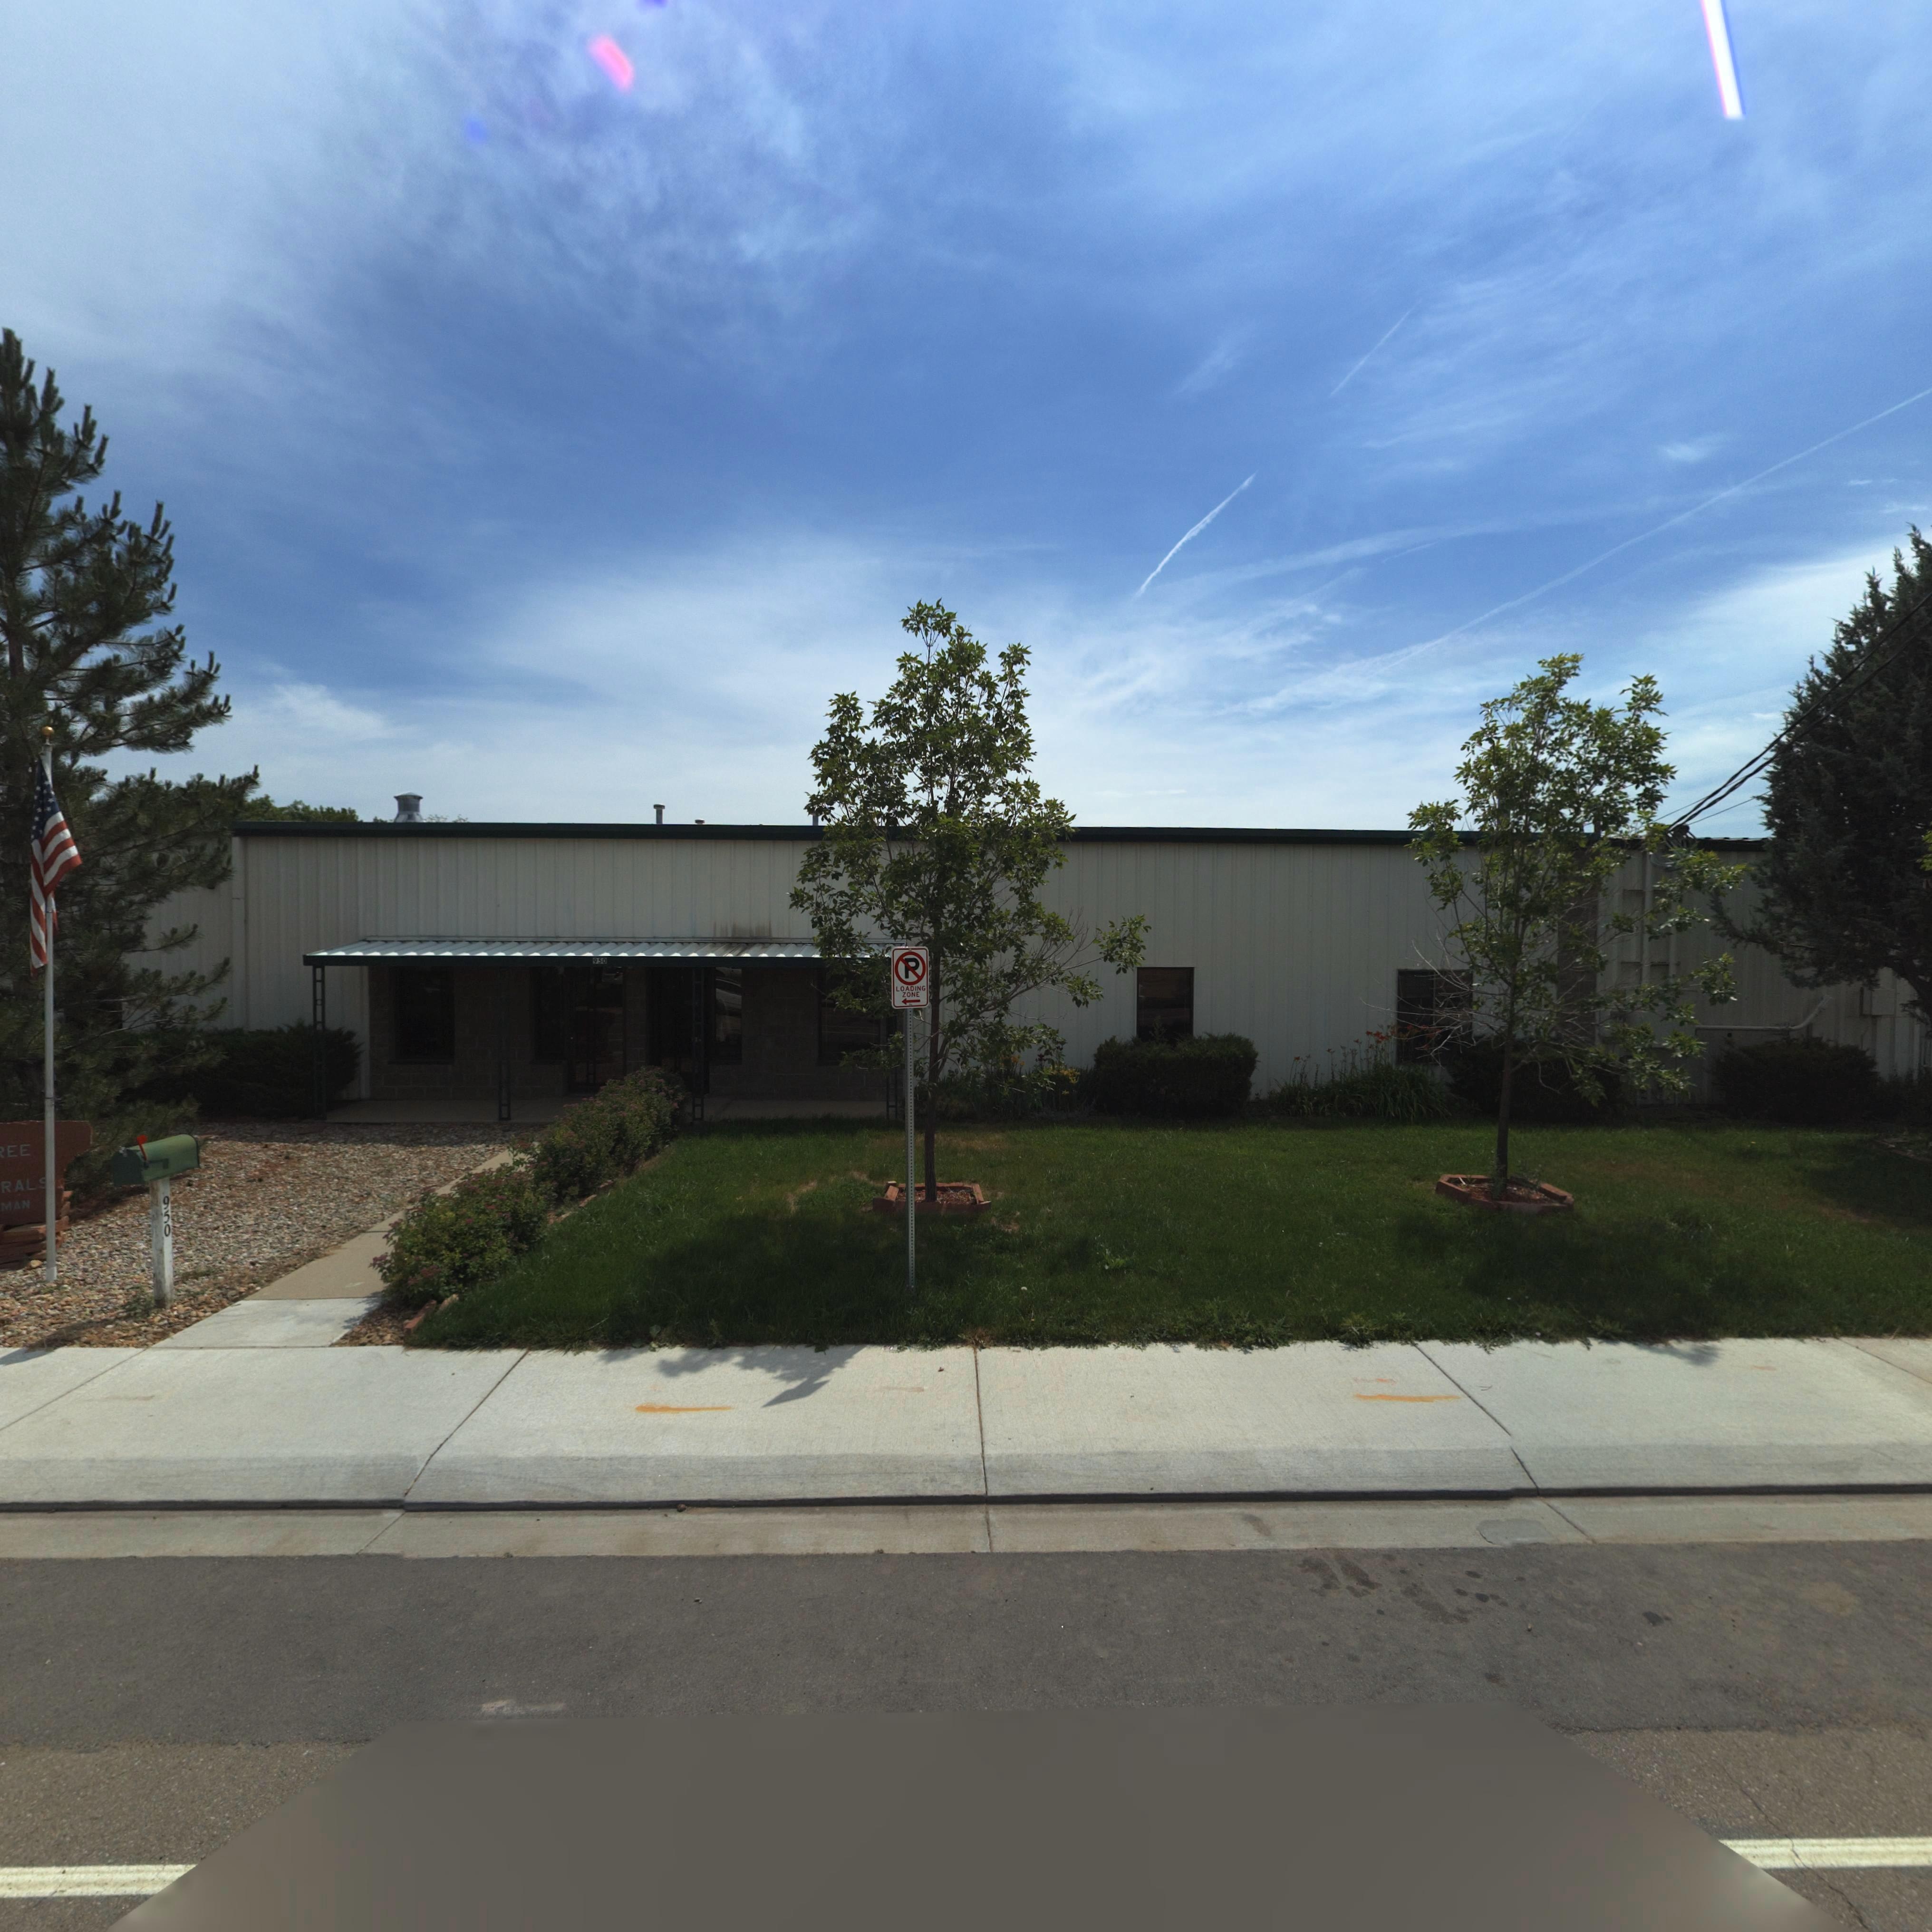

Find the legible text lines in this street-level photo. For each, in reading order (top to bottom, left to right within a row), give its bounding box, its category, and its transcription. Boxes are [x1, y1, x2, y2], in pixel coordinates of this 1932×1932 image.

[592, 958, 607, 964] StreetNumber: 950
[163, 1195, 171, 1237] StreetNumber: 950